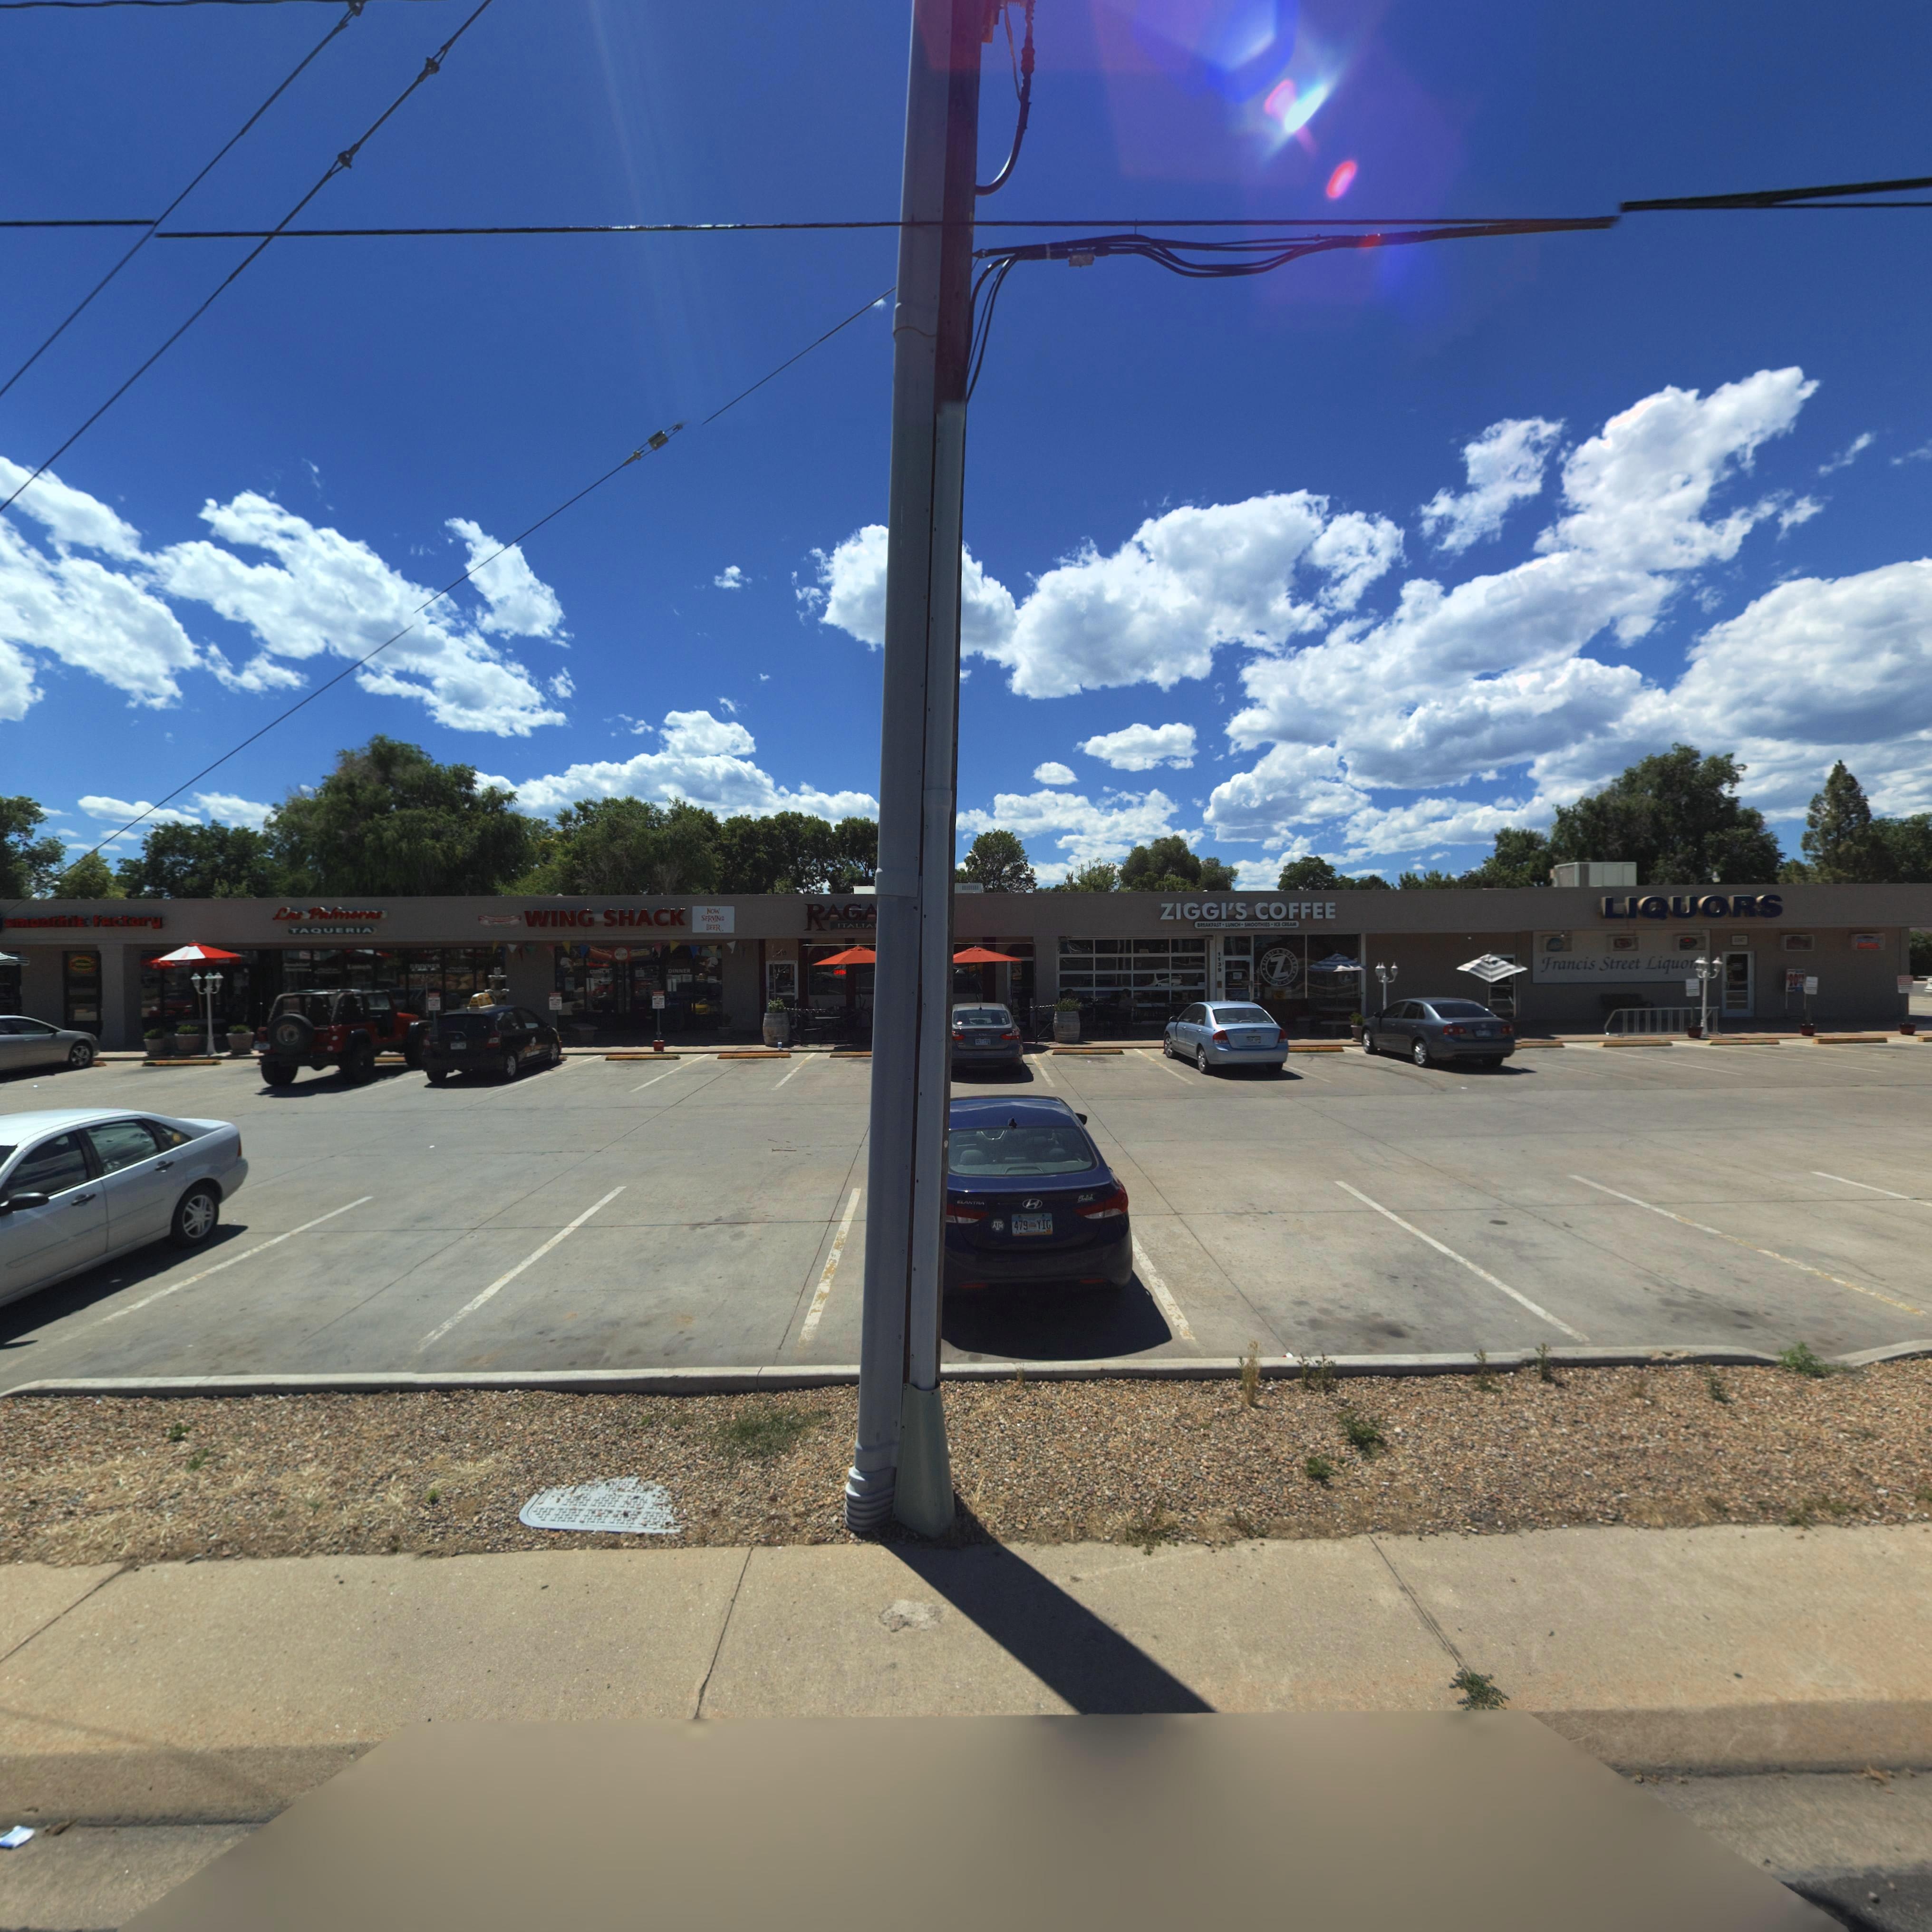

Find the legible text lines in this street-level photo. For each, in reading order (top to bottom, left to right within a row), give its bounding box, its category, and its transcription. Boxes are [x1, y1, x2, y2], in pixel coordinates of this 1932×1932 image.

[1, 912, 162, 930] BusinessName: smoothie factory
[270, 905, 383, 920] BusinessName: Las Palmaras
[290, 927, 373, 934] BusinessName: TAQUERIA
[521, 907, 687, 928] BusinessName: WING SHACK
[802, 902, 876, 931] BusinessName: RAG*
[837, 922, 874, 927] BusinessName: ITALIA
[1159, 901, 1336, 920] BusinessName: ZIGGI'S COFFEE
[1601, 893, 1787, 921] BusinessName: LIQUORS
[1733, 936, 1746, 942] StreetNumber: 1***
[775, 950, 787, 956] StreetNumber: 1**5
[1216, 950, 1223, 973] StreetNumber: 1139
[1261, 949, 1297, 969] BusinessName: ZIGGI'S COFFEE
[1539, 955, 1697, 975] BusinessName: Francis Street Liquor